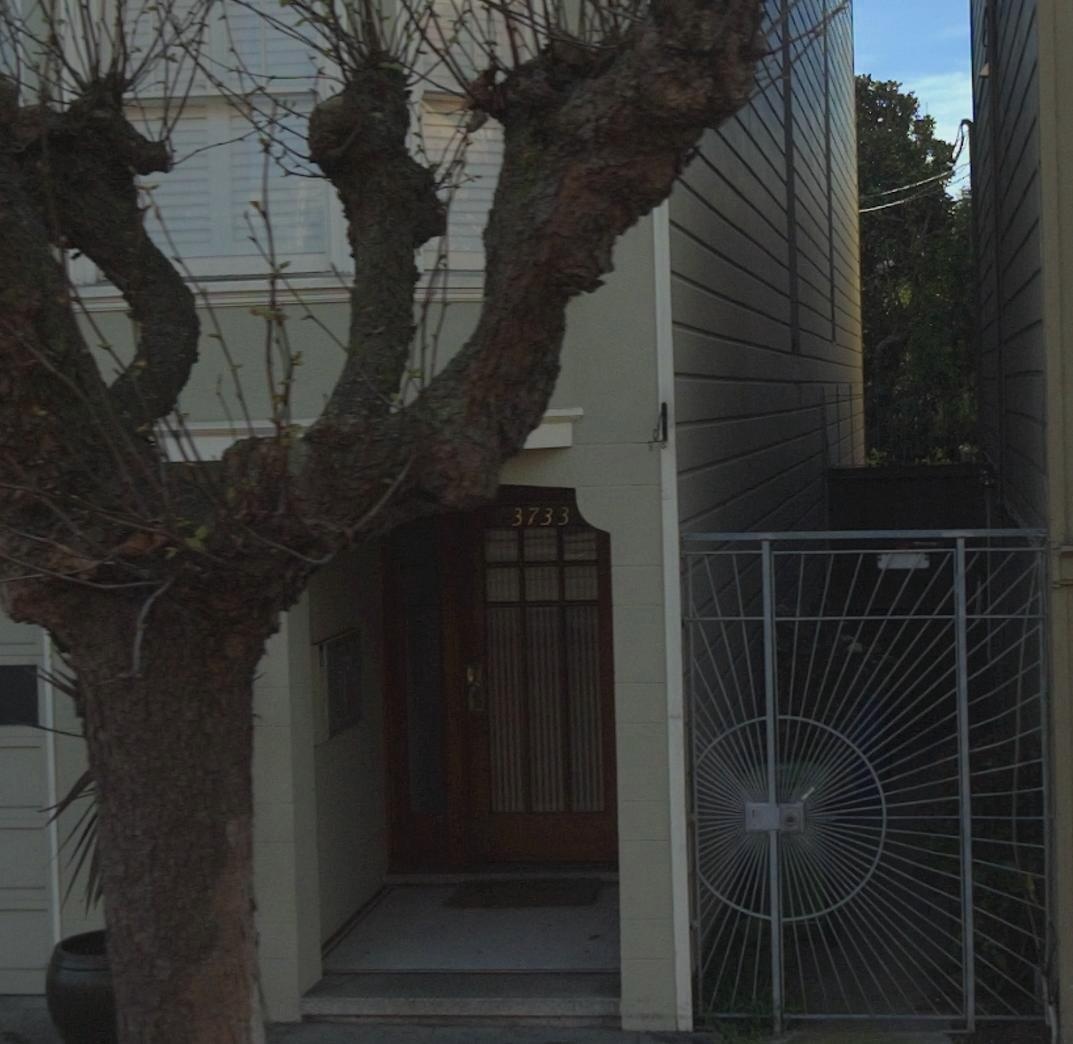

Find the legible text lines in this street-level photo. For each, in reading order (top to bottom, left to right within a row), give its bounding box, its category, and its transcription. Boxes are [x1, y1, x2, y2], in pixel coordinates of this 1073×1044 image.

[507, 504, 572, 529] StreetNumber: 3733